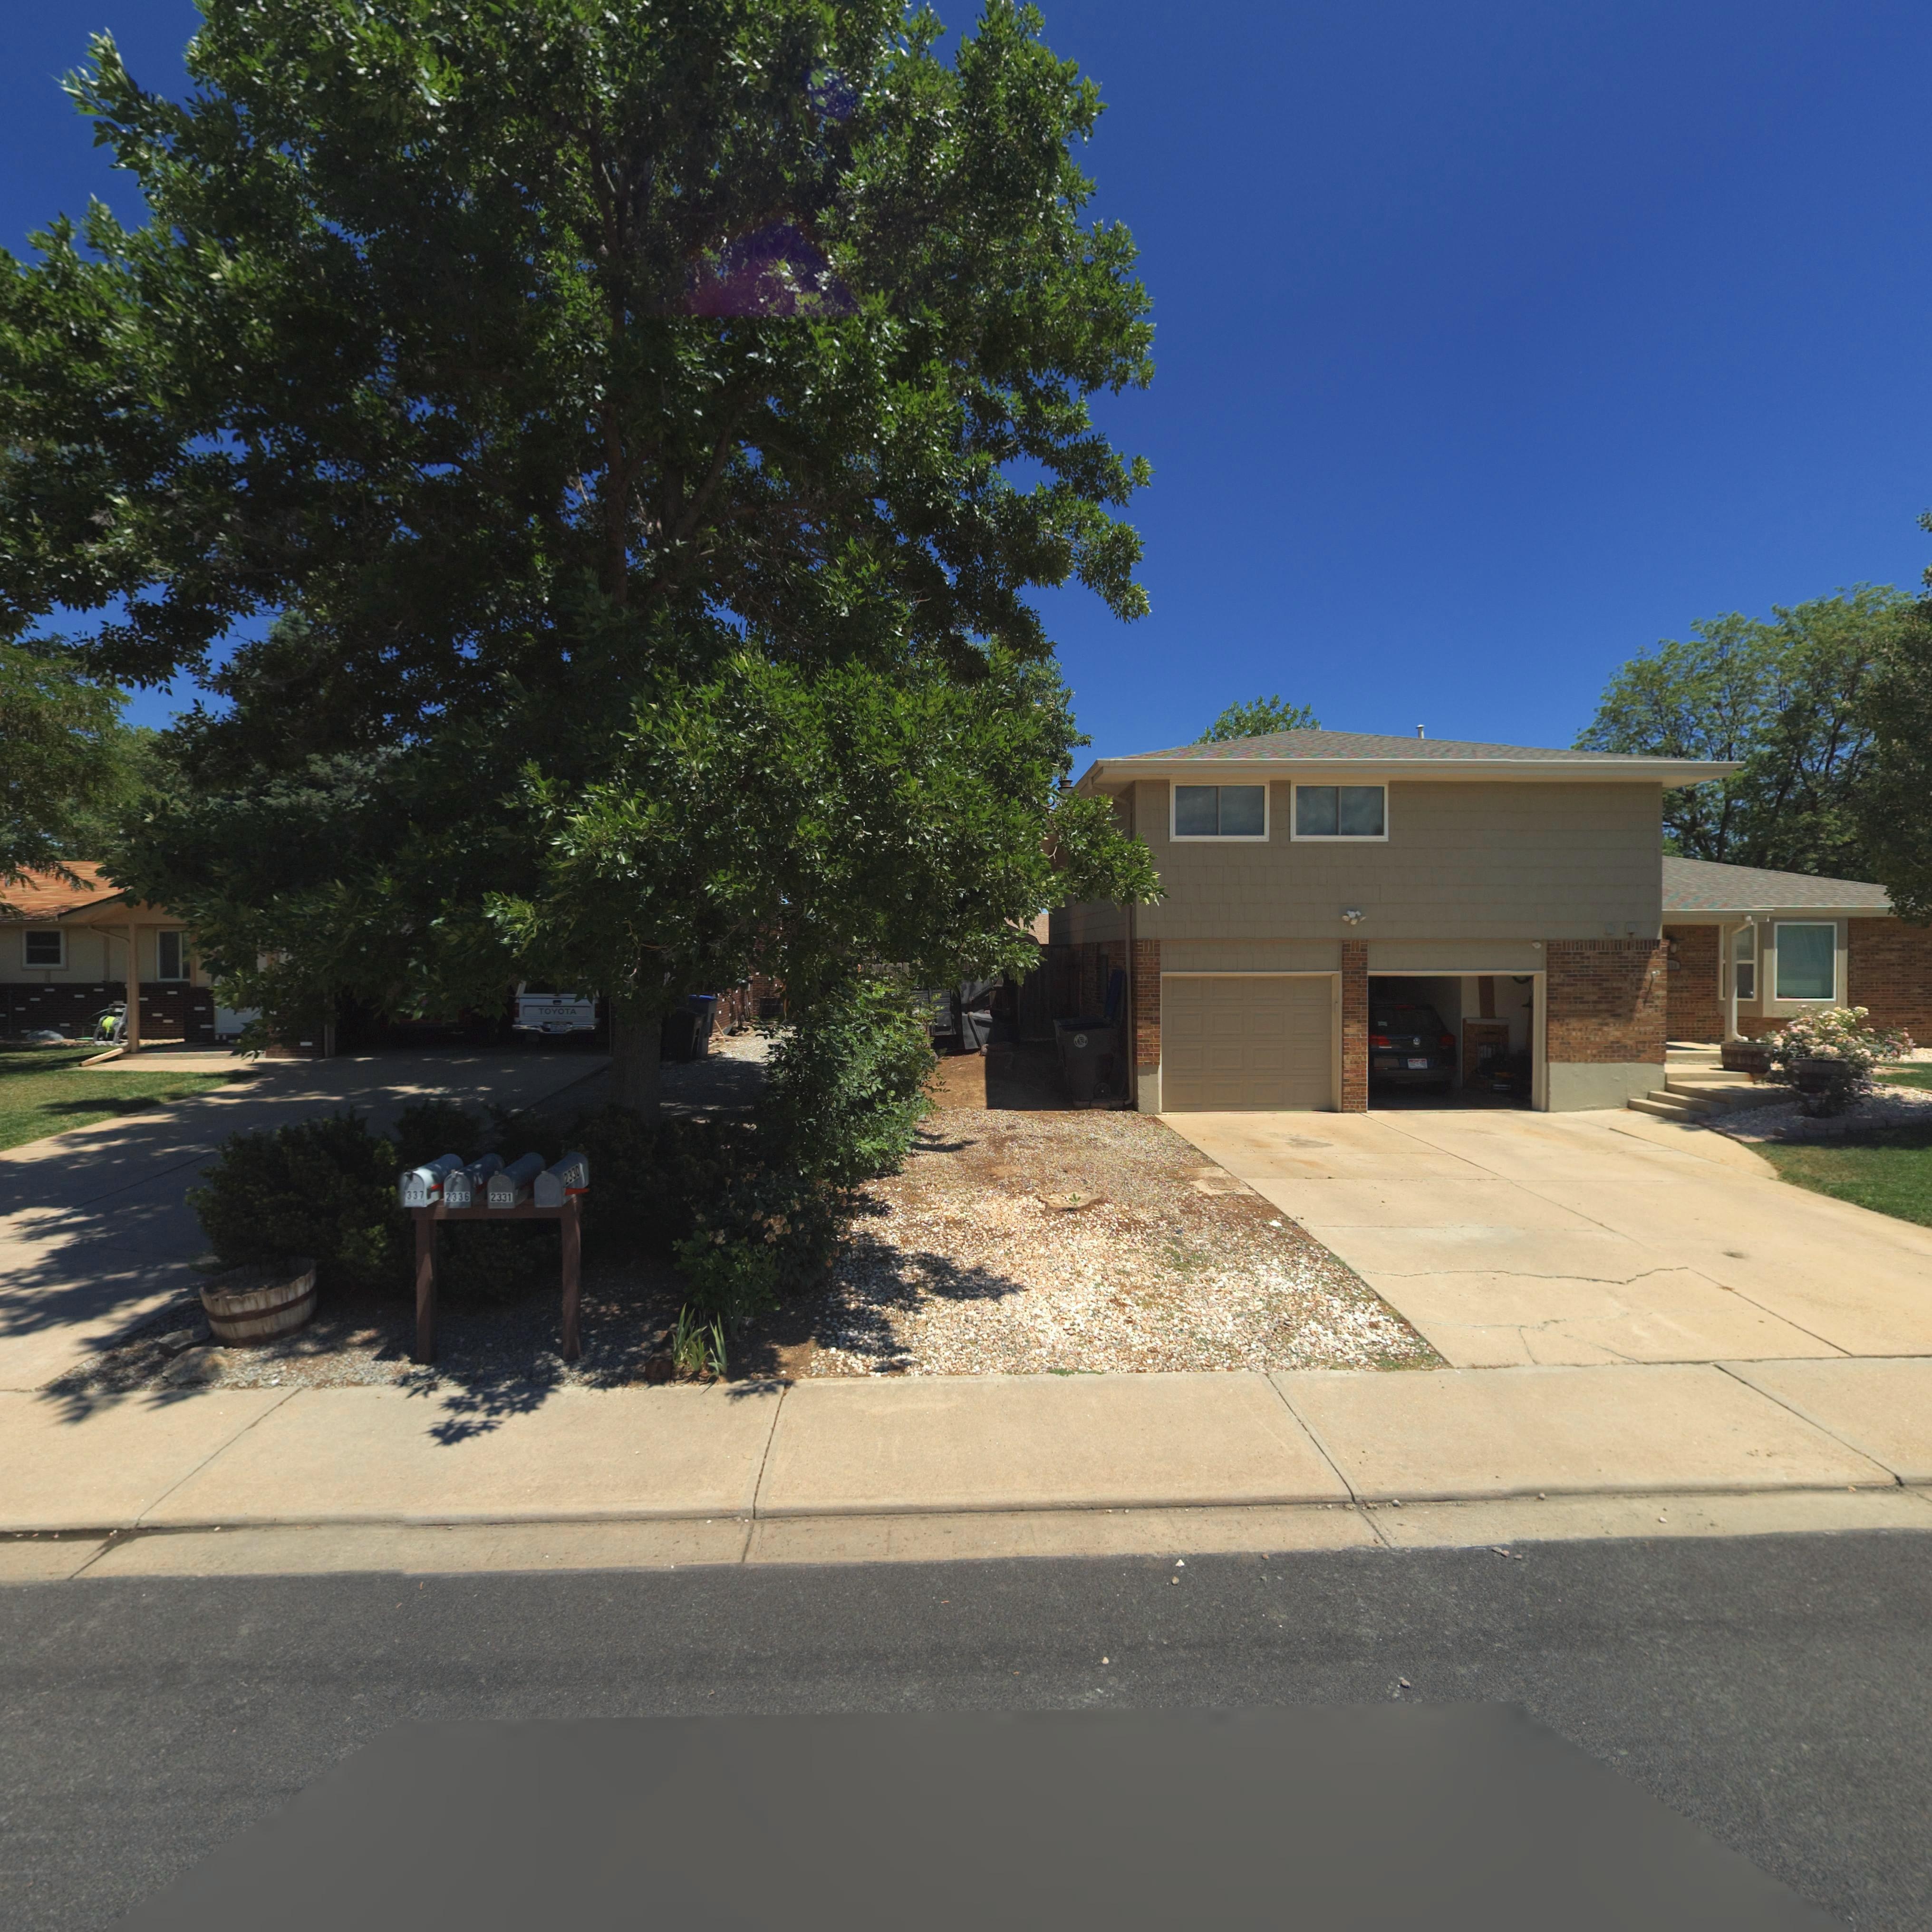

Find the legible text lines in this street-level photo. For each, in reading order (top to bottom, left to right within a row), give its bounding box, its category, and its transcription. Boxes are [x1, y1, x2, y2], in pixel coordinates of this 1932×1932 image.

[1667, 962, 1678, 969] StreetNumber: *30
[563, 1165, 580, 1185] StreetNumber: 2330
[406, 1190, 424, 1200] StreetNumber: 337
[445, 1191, 470, 1201] StreetNumber: 2336
[490, 1192, 511, 1202] StreetNumber: 2331